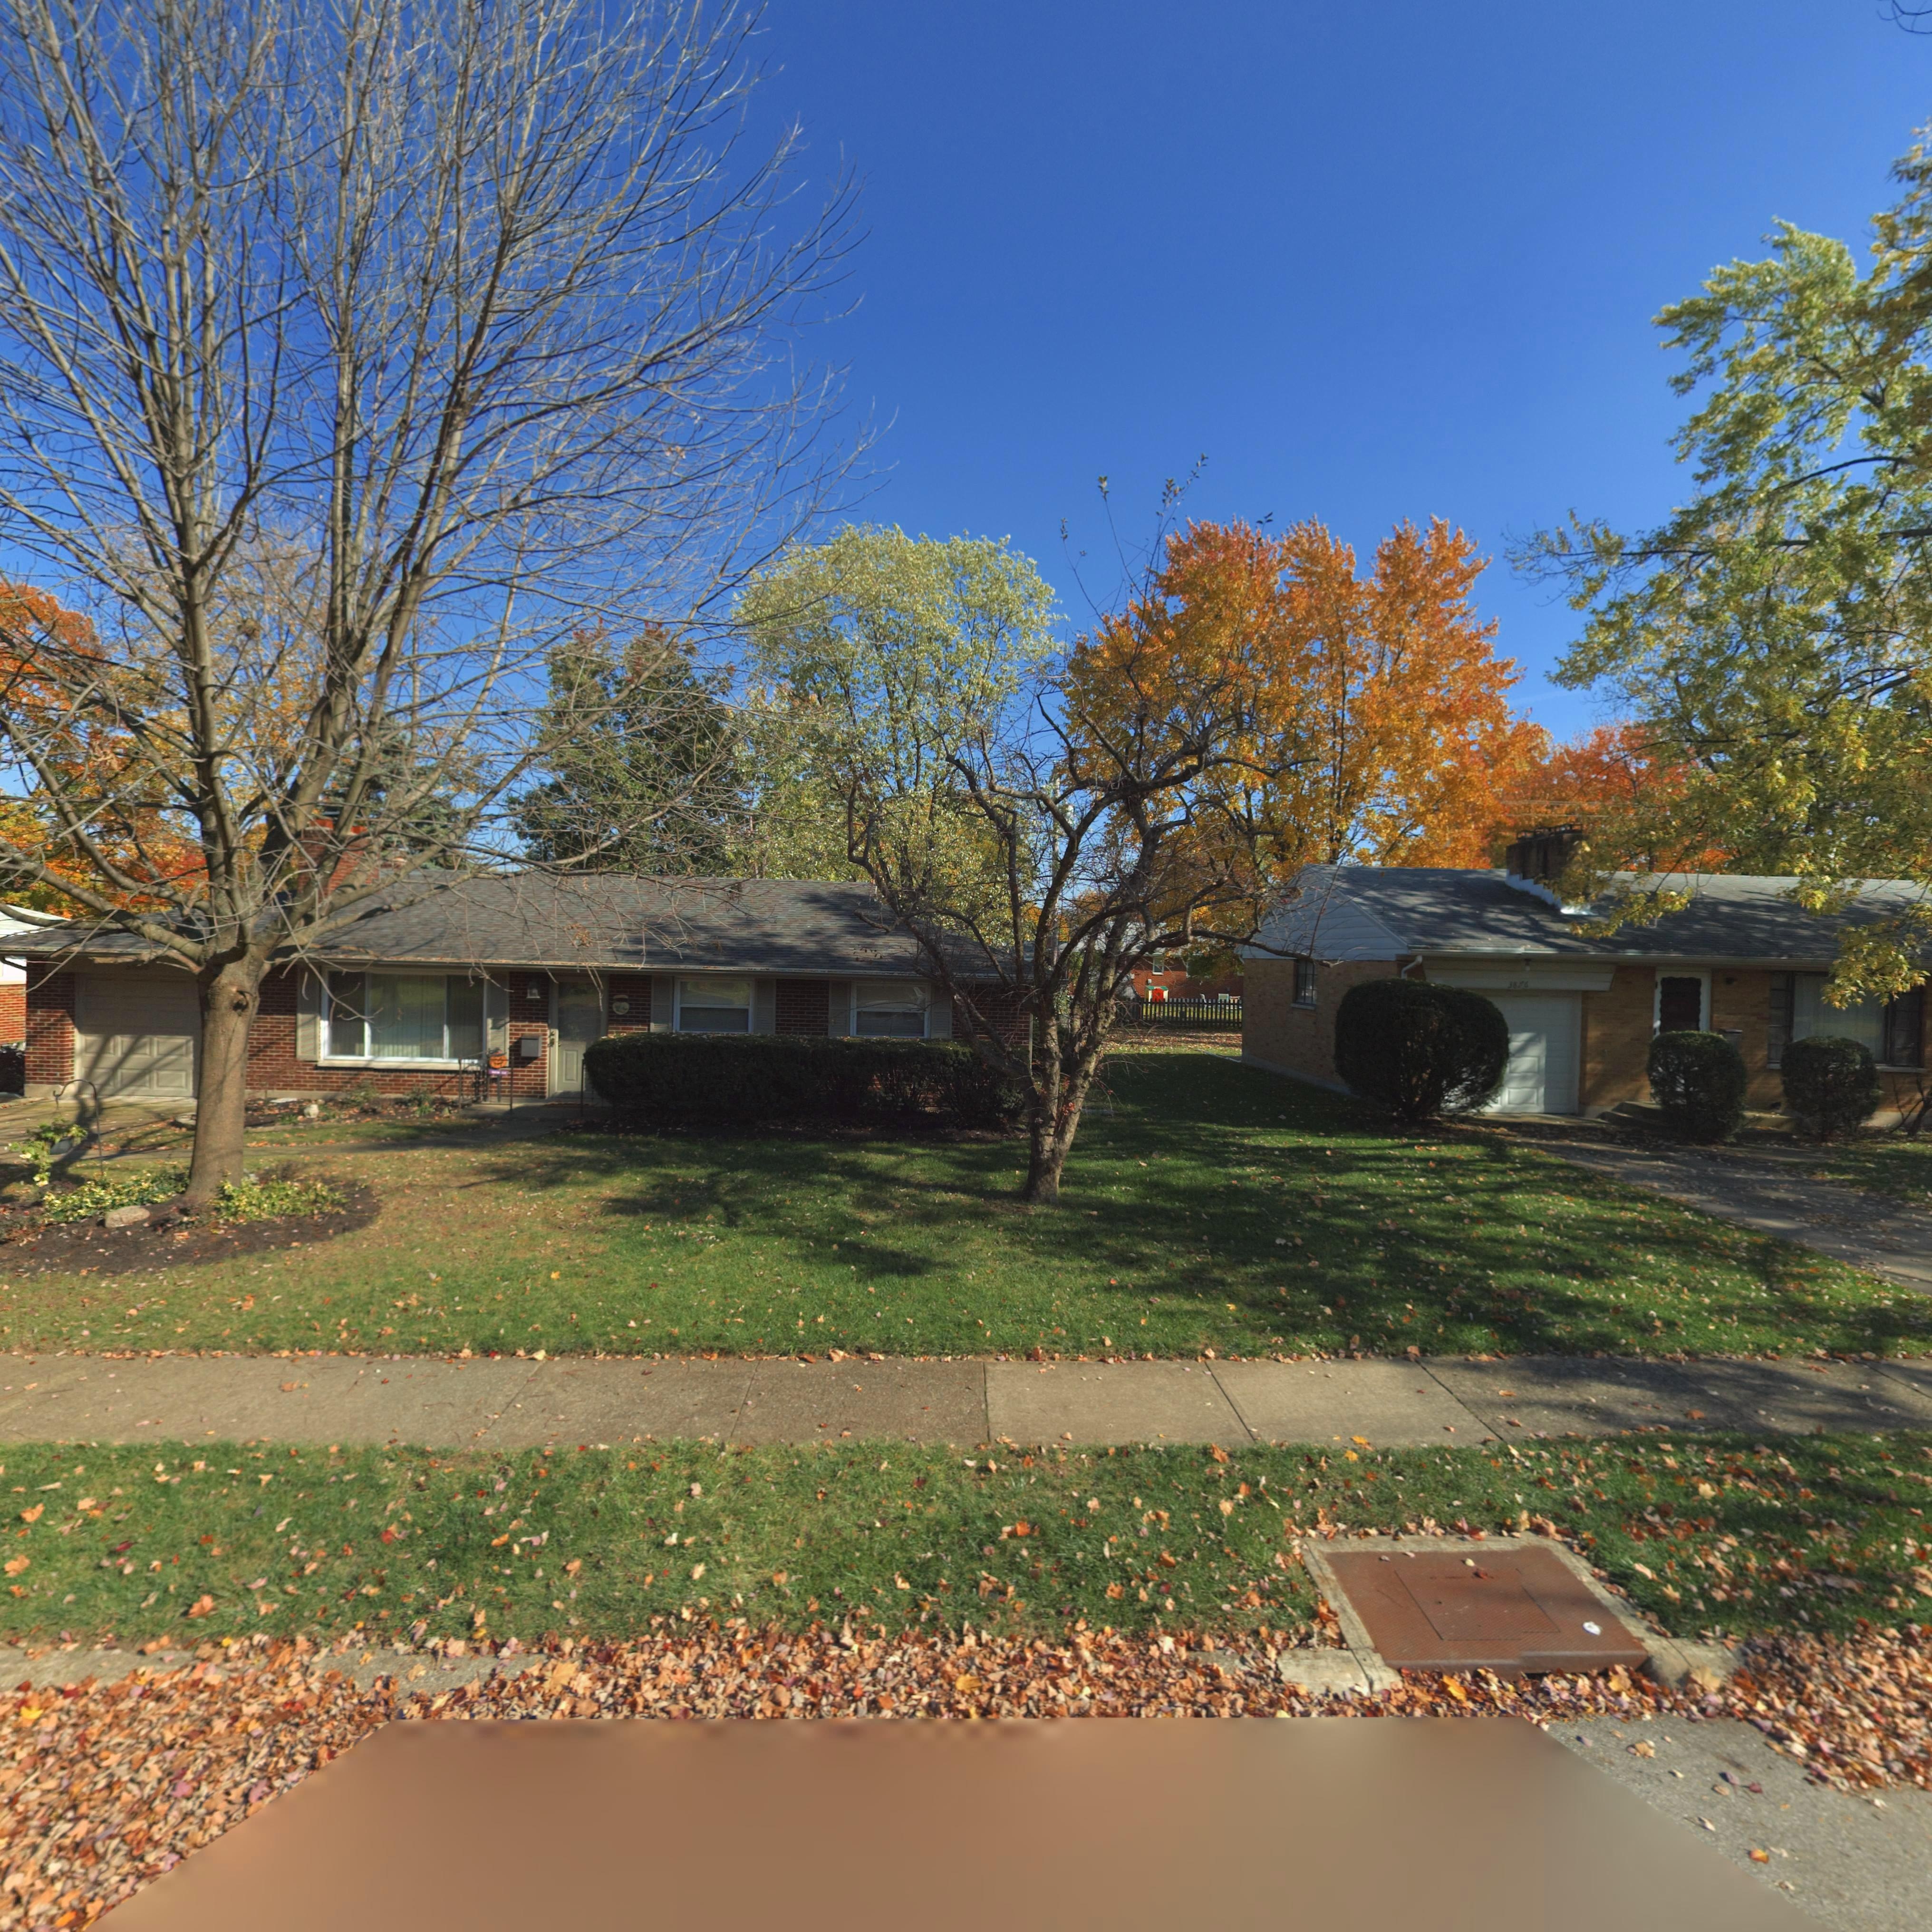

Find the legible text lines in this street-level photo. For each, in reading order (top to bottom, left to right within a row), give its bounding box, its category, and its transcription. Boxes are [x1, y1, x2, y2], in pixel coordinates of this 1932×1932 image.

[1506, 979, 1530, 989] StreetNumber: 38*6